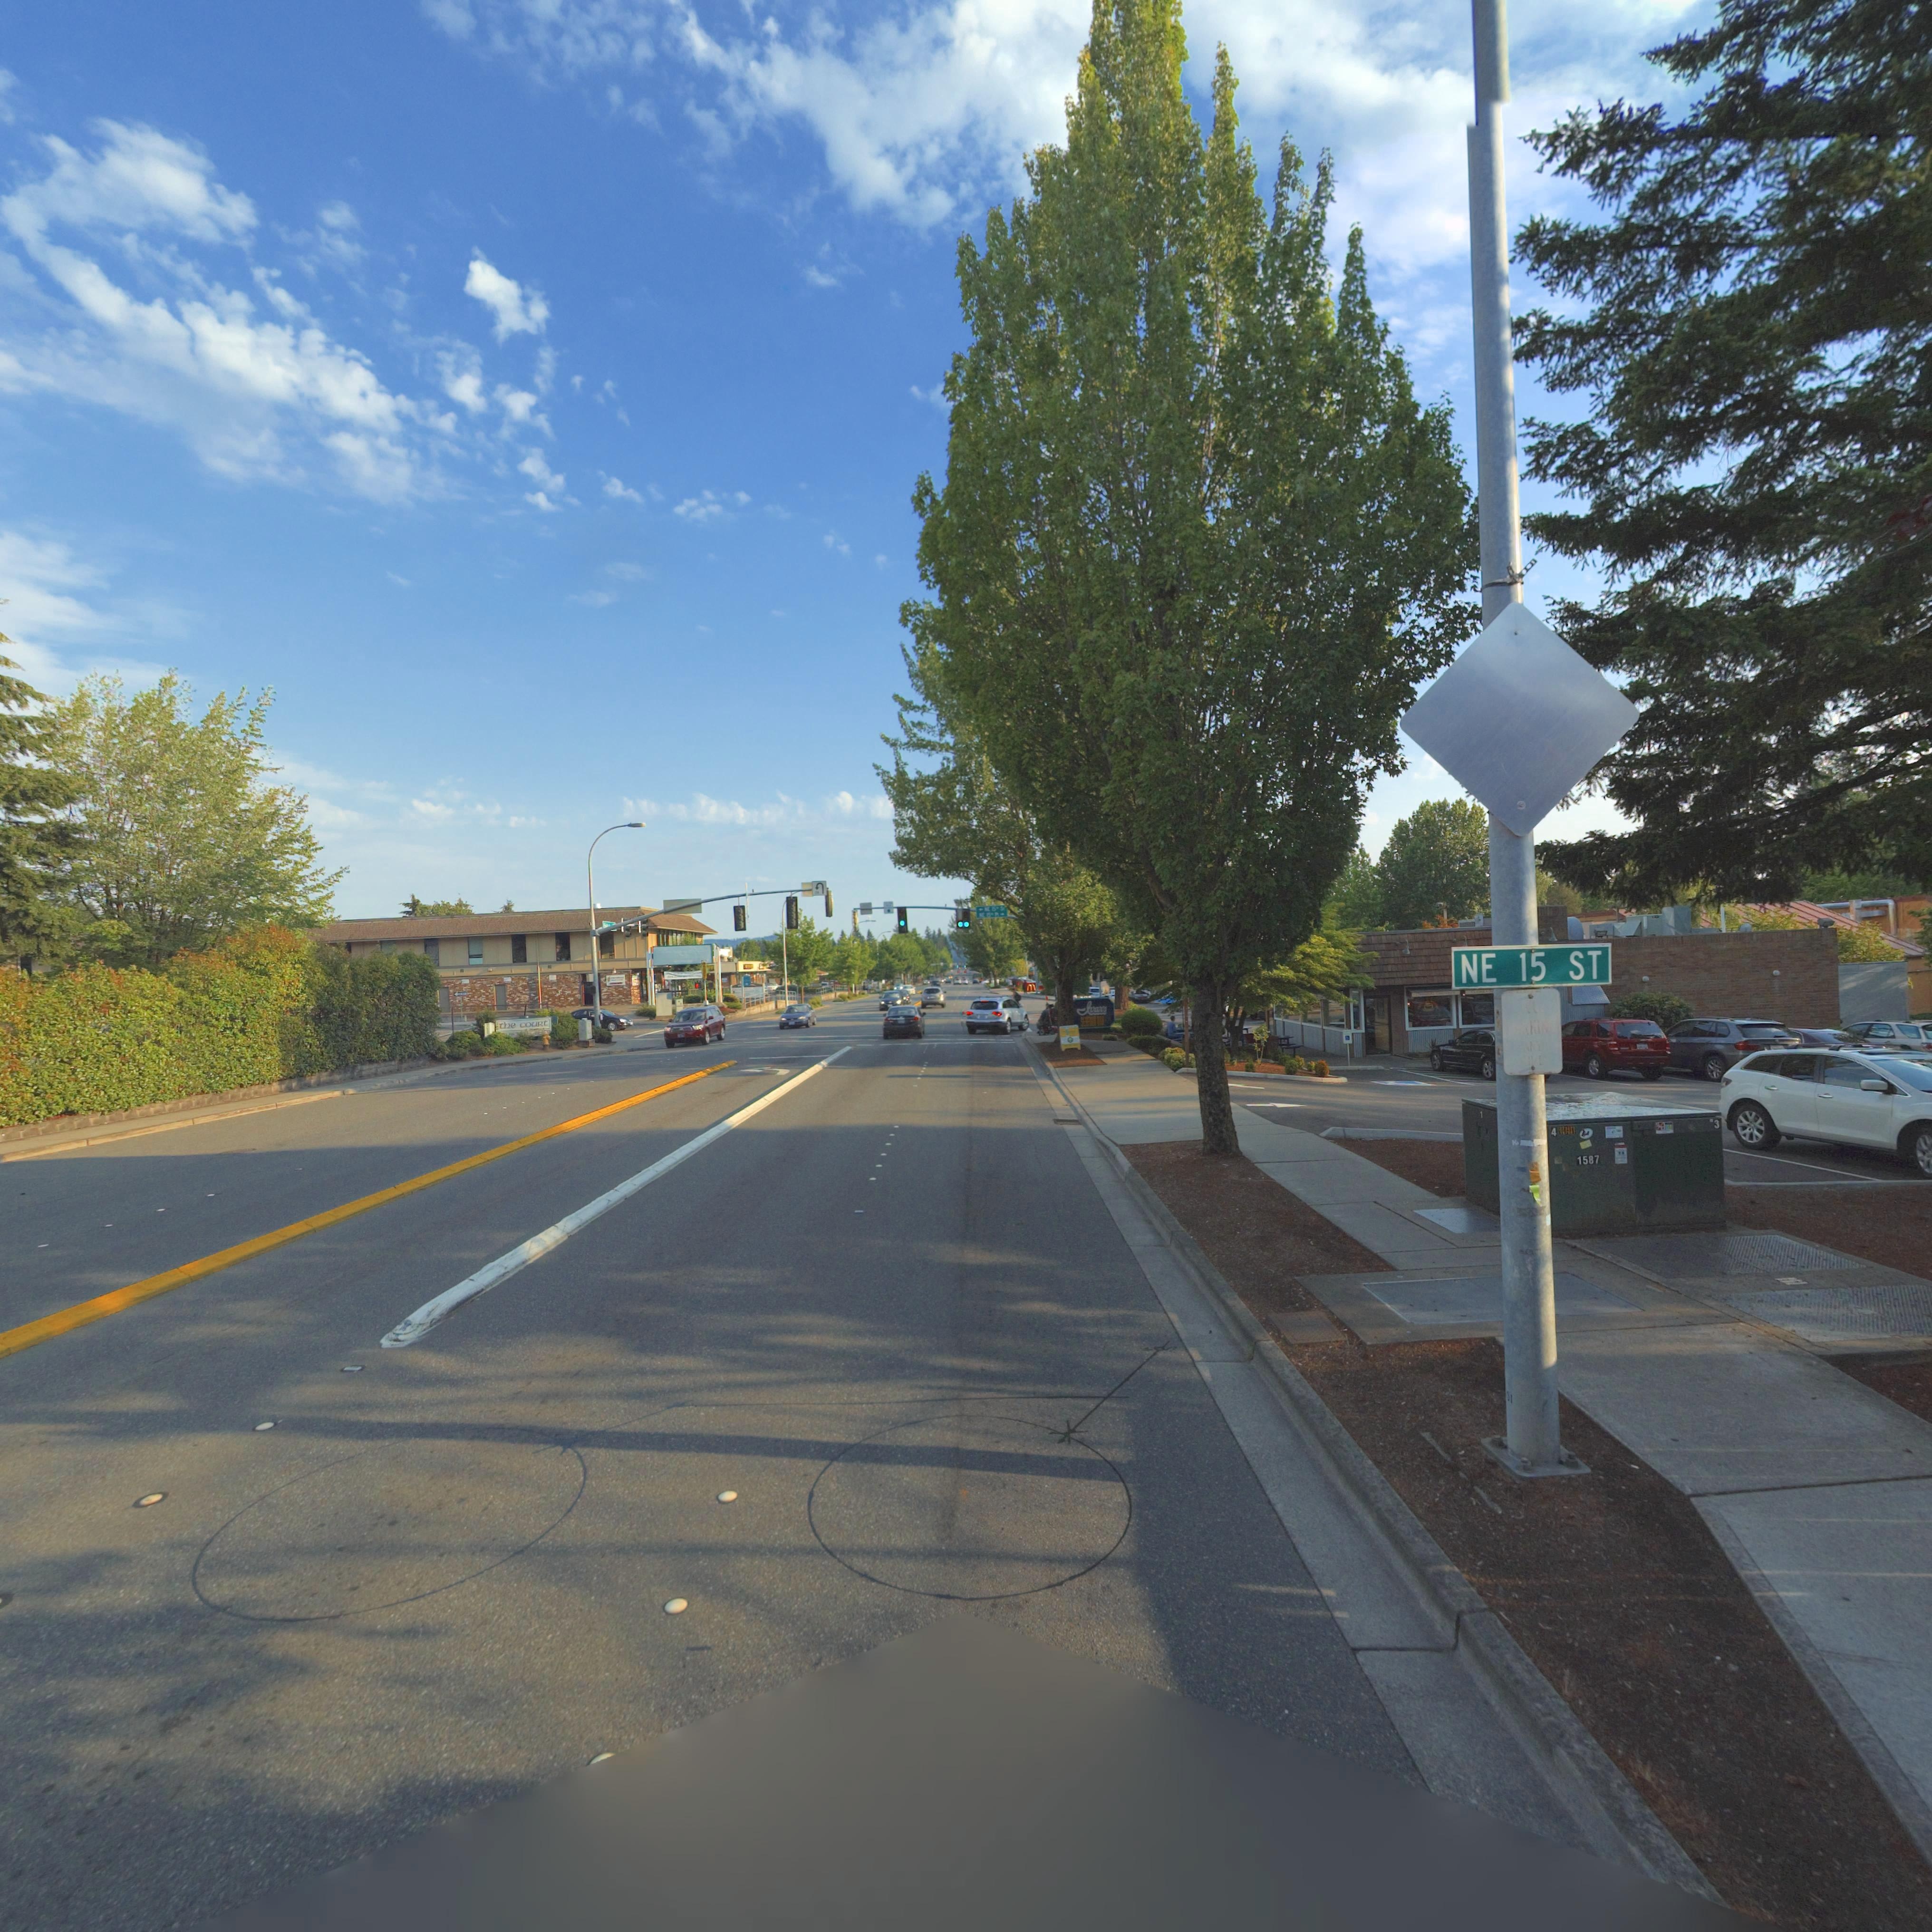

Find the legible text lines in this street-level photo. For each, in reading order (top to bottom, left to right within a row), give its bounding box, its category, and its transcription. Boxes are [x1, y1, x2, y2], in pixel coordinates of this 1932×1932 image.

[1458, 950, 1602, 984] StreetName: NE 15 ST
[1076, 1001, 1107, 1015] BusinessName: Ivar's
[498, 1020, 549, 1030] BusinessName: the couRt